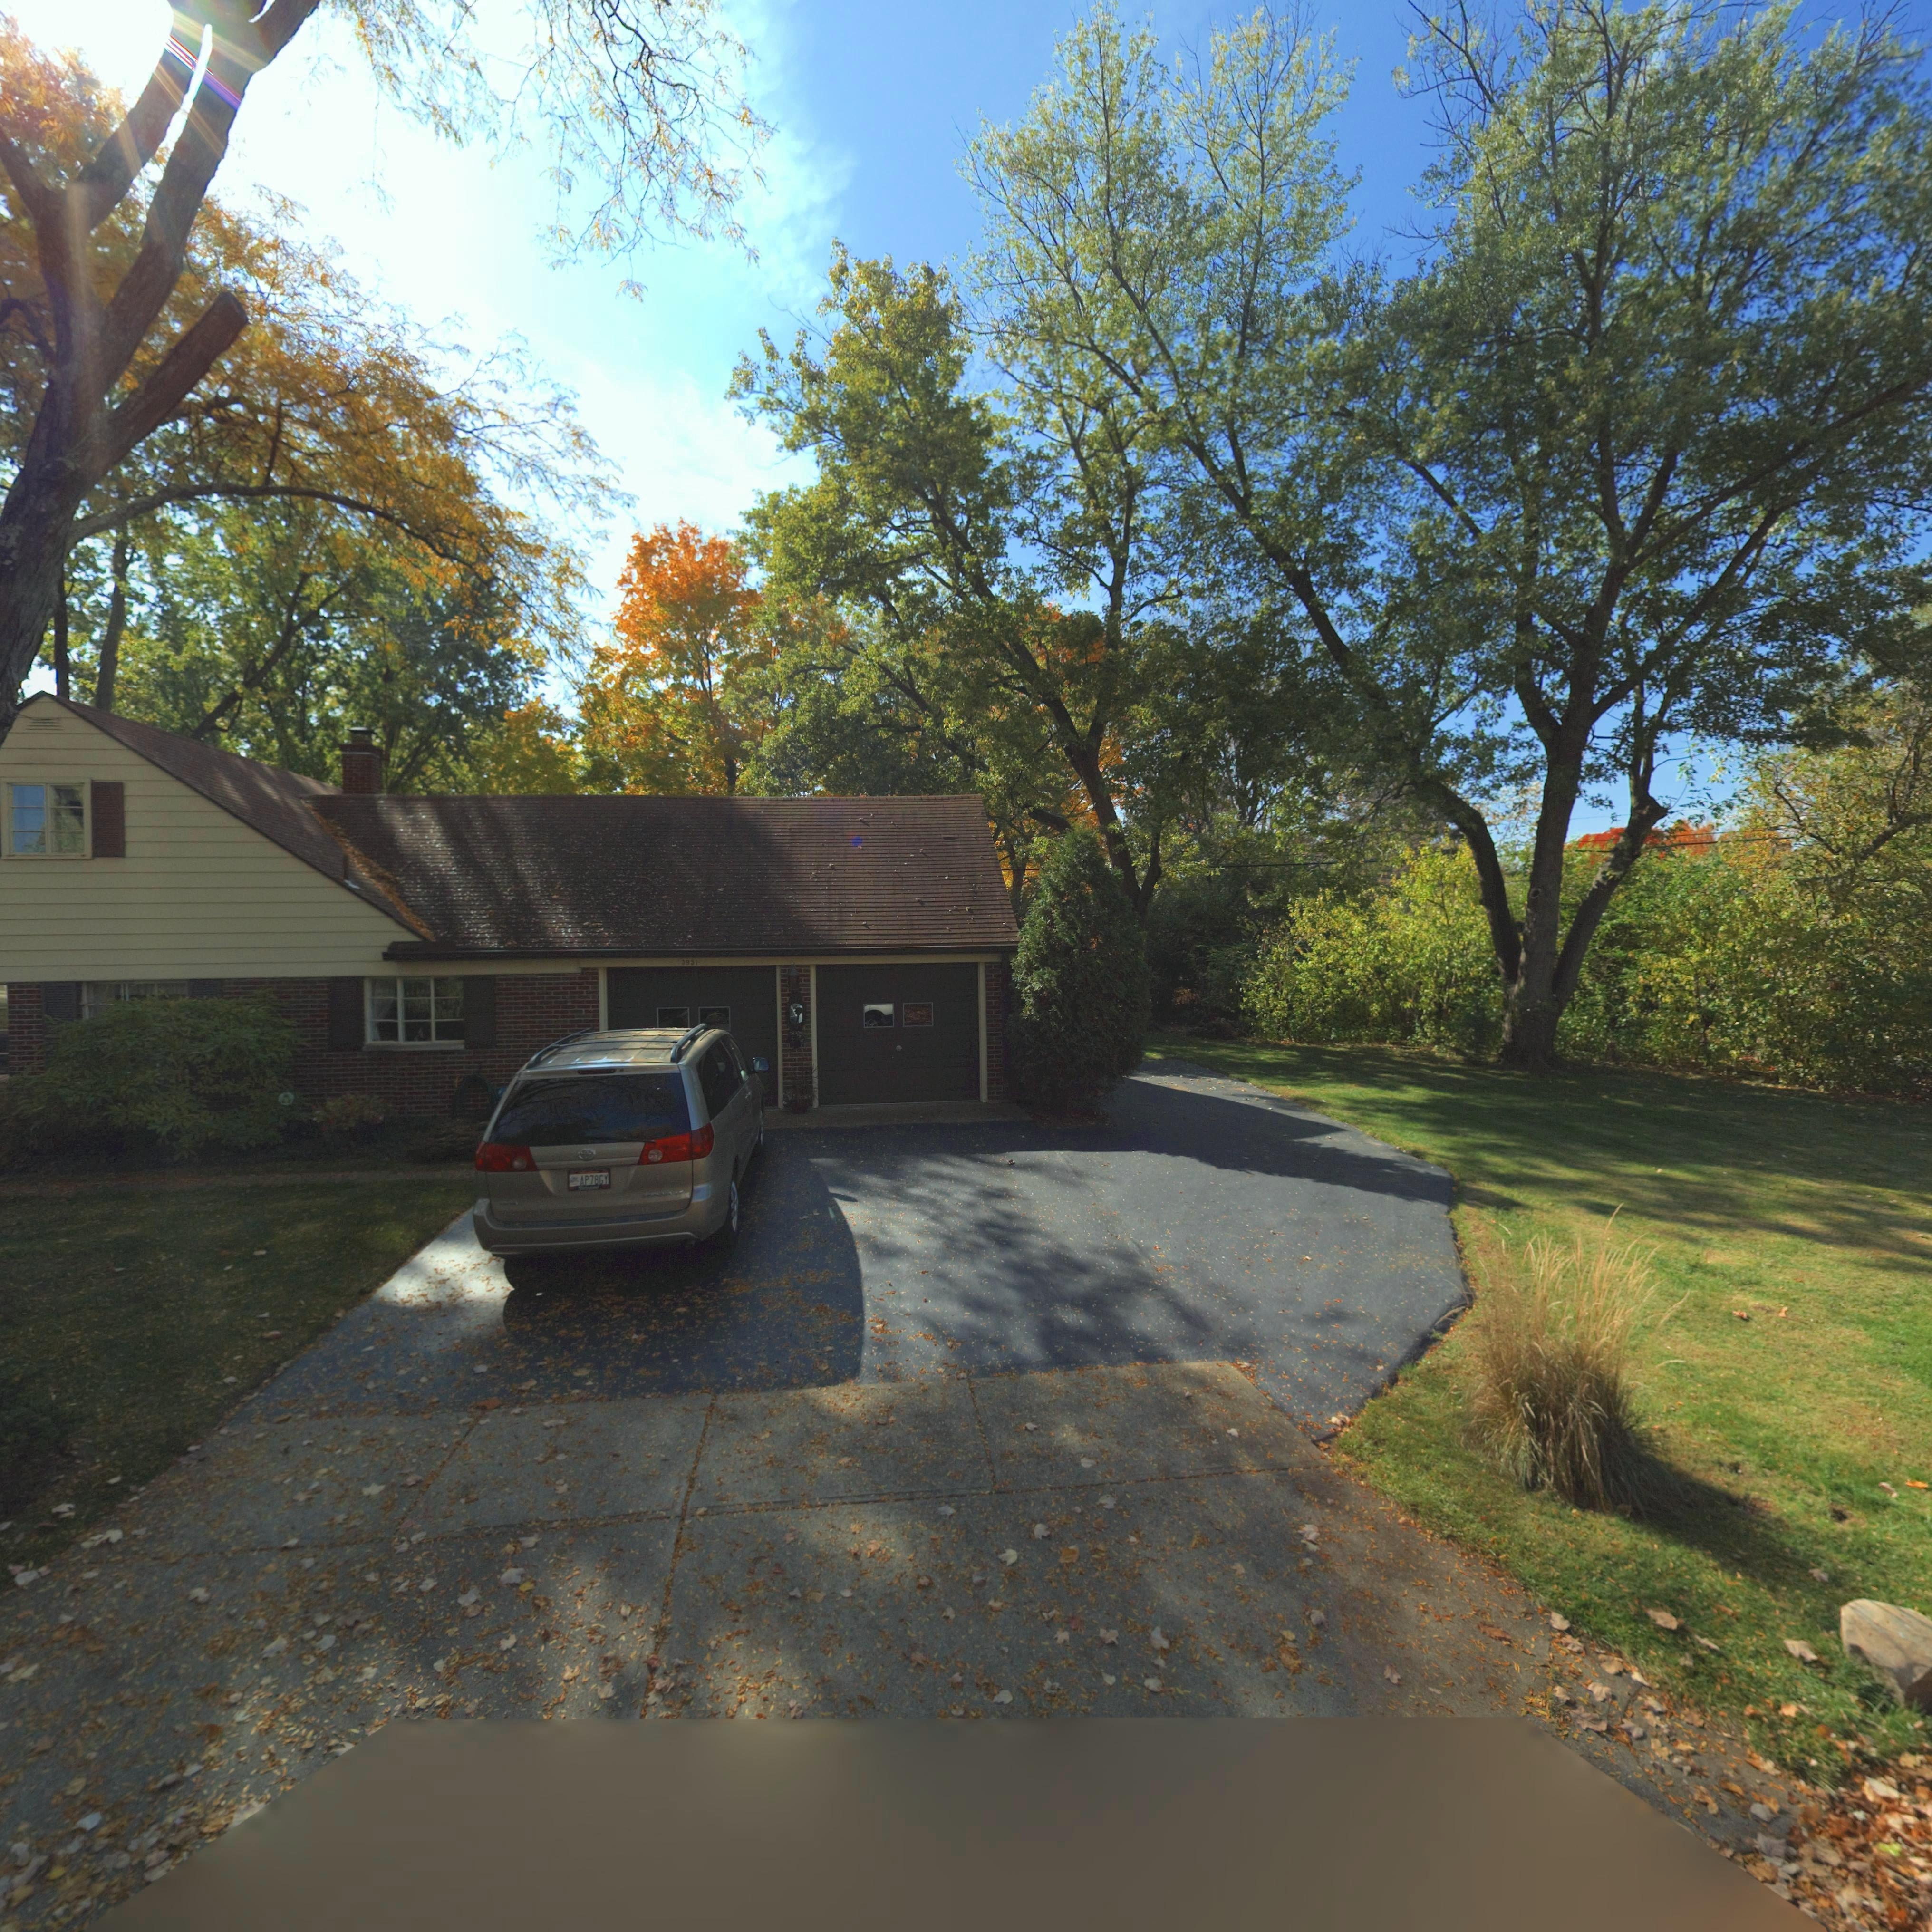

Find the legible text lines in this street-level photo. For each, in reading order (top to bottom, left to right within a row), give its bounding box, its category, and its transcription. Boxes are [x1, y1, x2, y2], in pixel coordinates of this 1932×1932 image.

[681, 958, 698, 966] StreetNumber: 3951
[578, 1172, 609, 1187] None: AP78GY